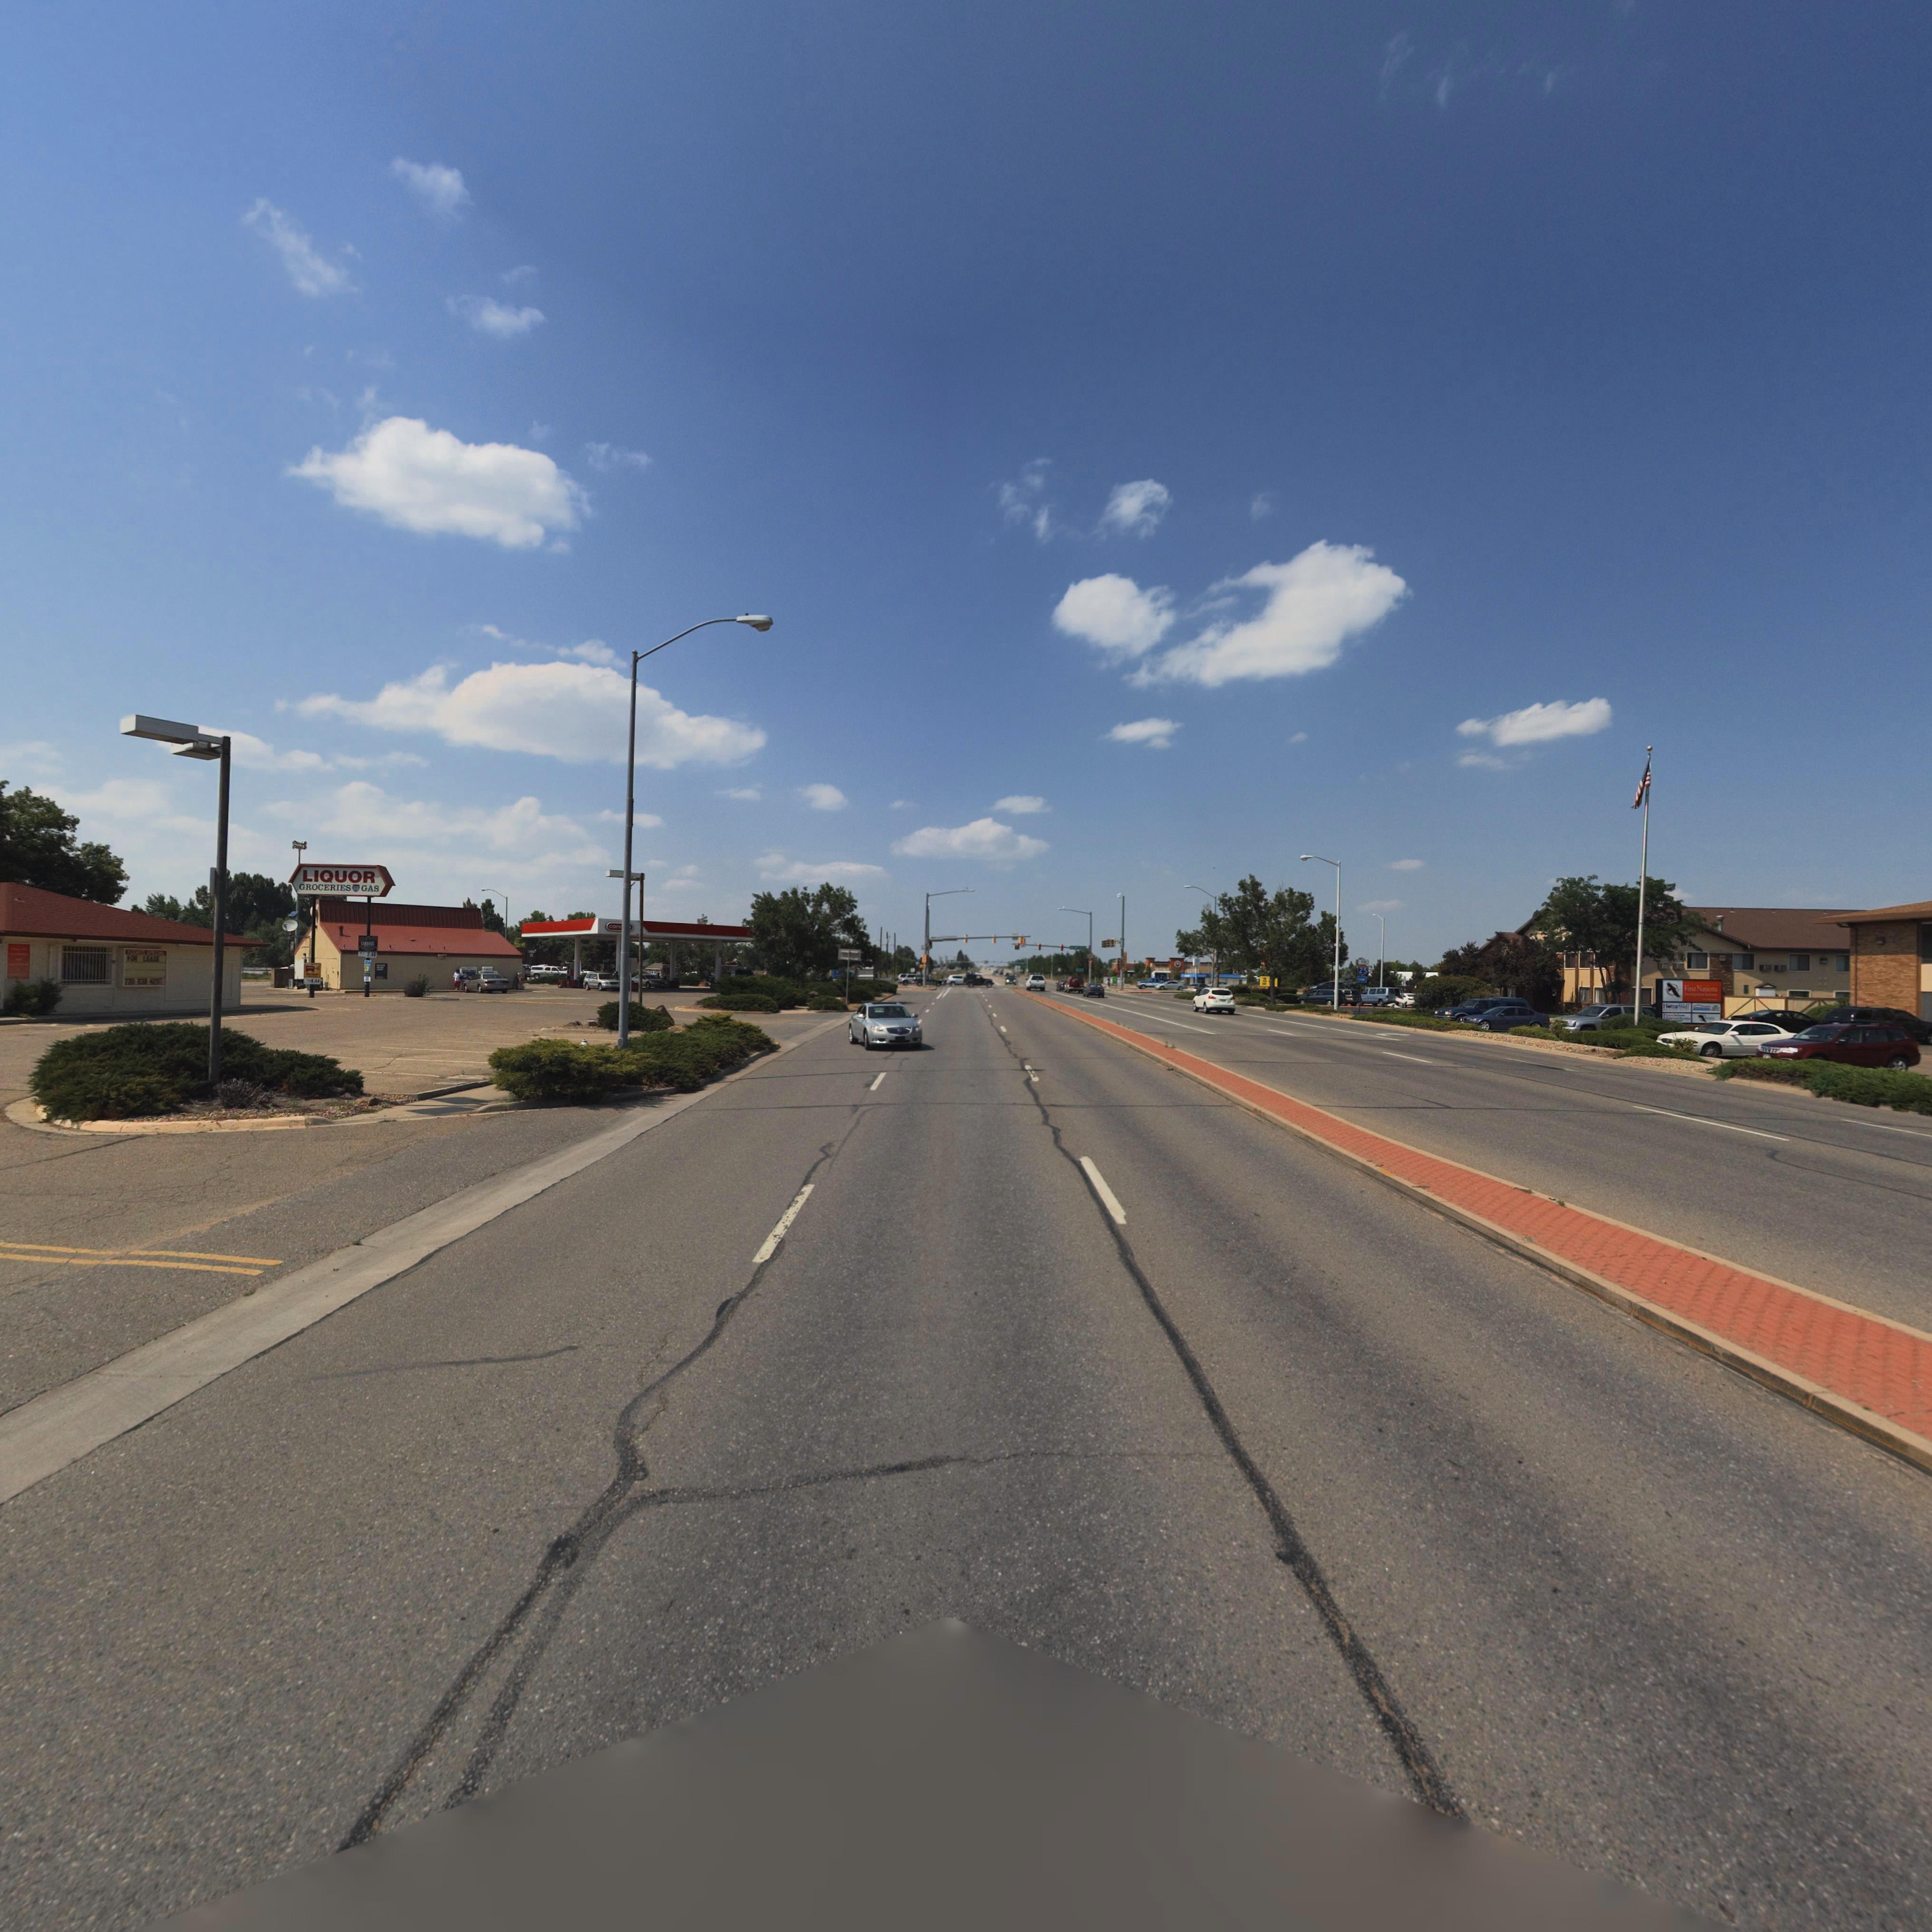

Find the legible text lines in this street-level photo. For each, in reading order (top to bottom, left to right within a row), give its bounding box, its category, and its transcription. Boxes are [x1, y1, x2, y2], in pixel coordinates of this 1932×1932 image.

[609, 924, 620, 929] BusinessName: con
[1684, 985, 1718, 992] BusinessName: First Nations